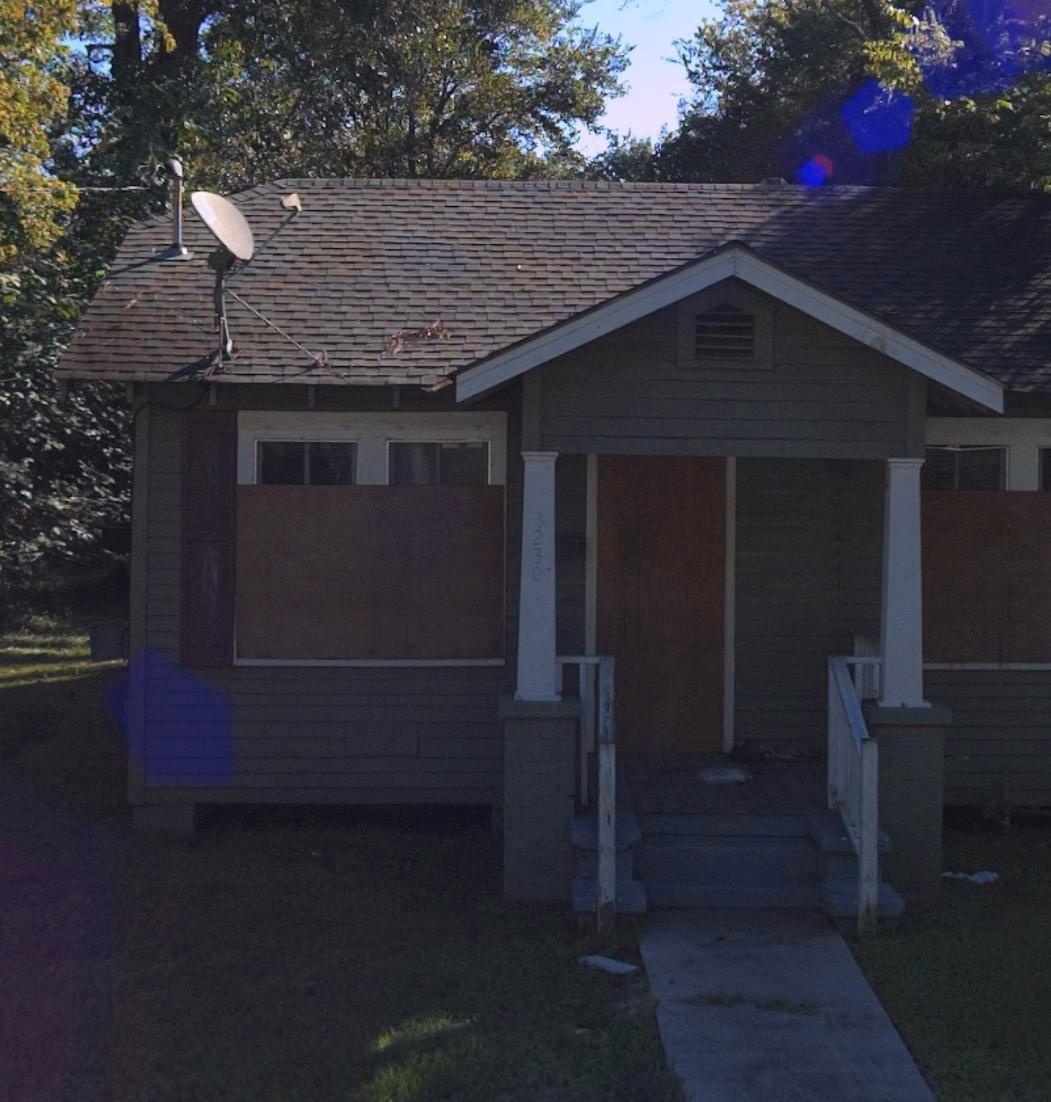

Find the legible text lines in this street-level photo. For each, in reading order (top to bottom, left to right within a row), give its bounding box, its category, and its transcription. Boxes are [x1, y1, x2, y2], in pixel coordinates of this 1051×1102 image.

[529, 508, 548, 584] StreetNumber: 3230